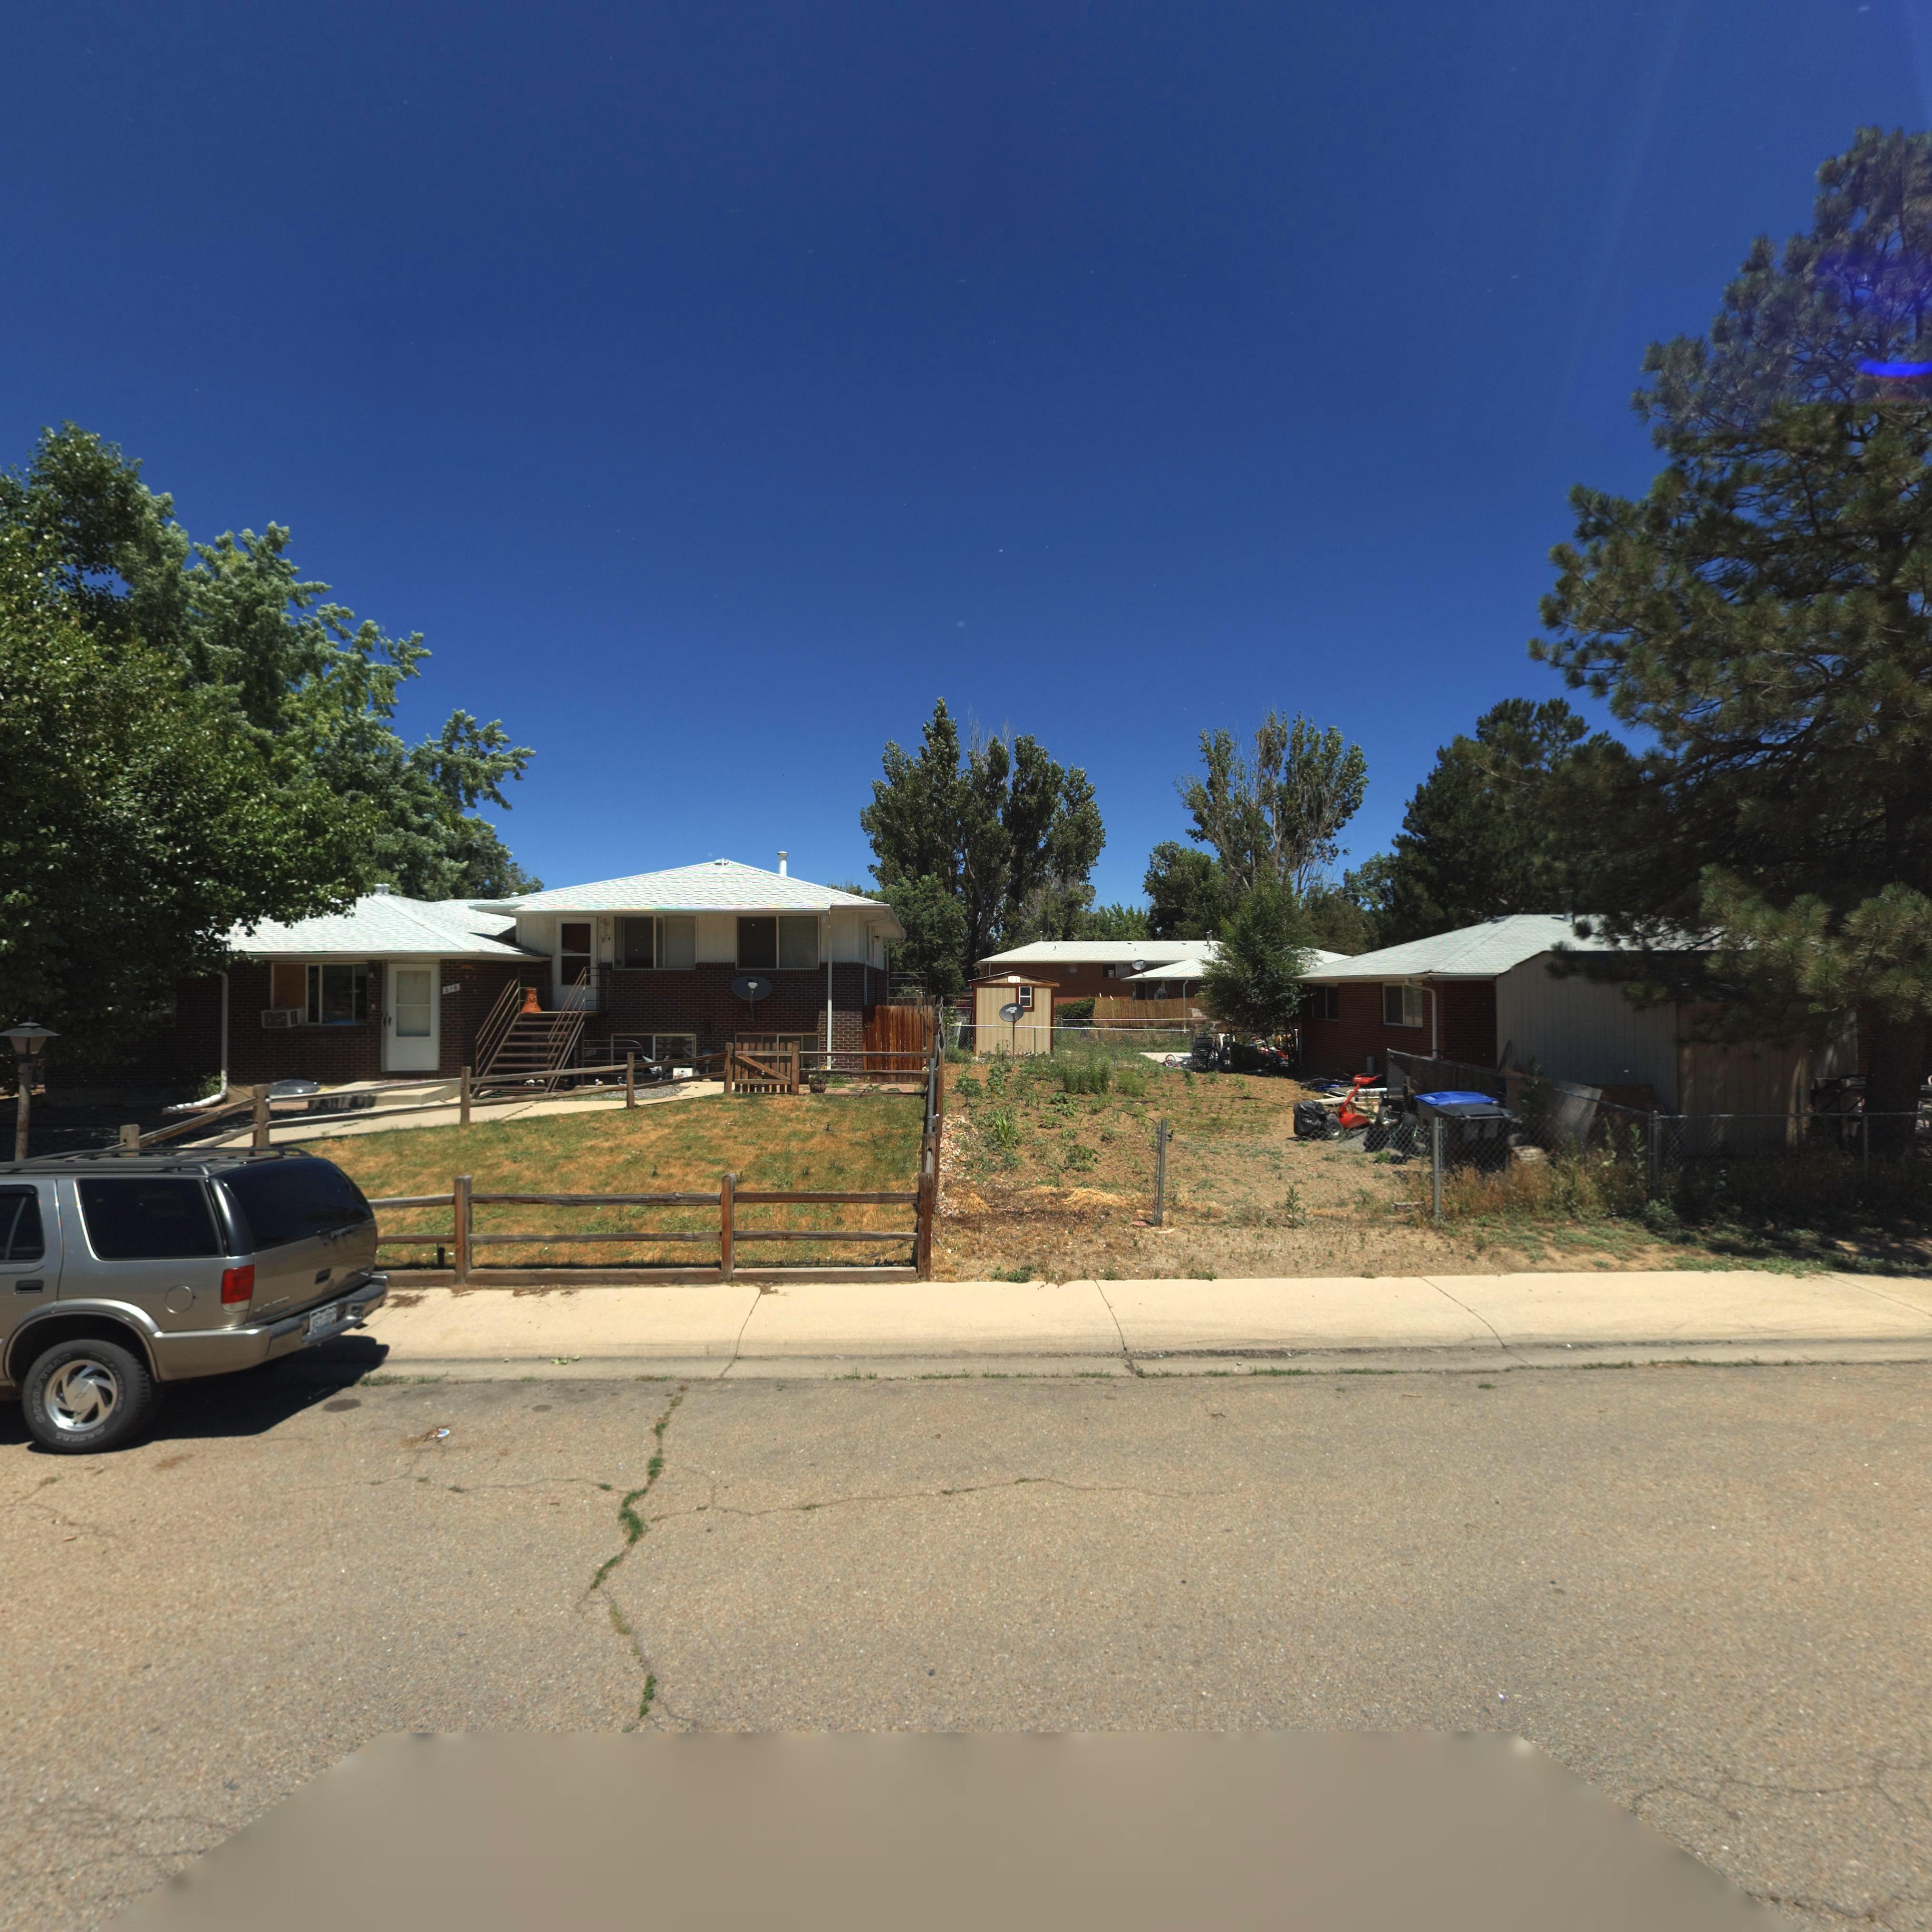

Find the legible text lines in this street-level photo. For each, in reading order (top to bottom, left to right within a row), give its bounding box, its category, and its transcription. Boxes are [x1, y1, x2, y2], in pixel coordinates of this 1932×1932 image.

[600, 936, 611, 943] StreetNumber: 3*4
[444, 984, 458, 993] StreetNumber: 316
[583, 1049, 594, 1057] StreetNumber: *13